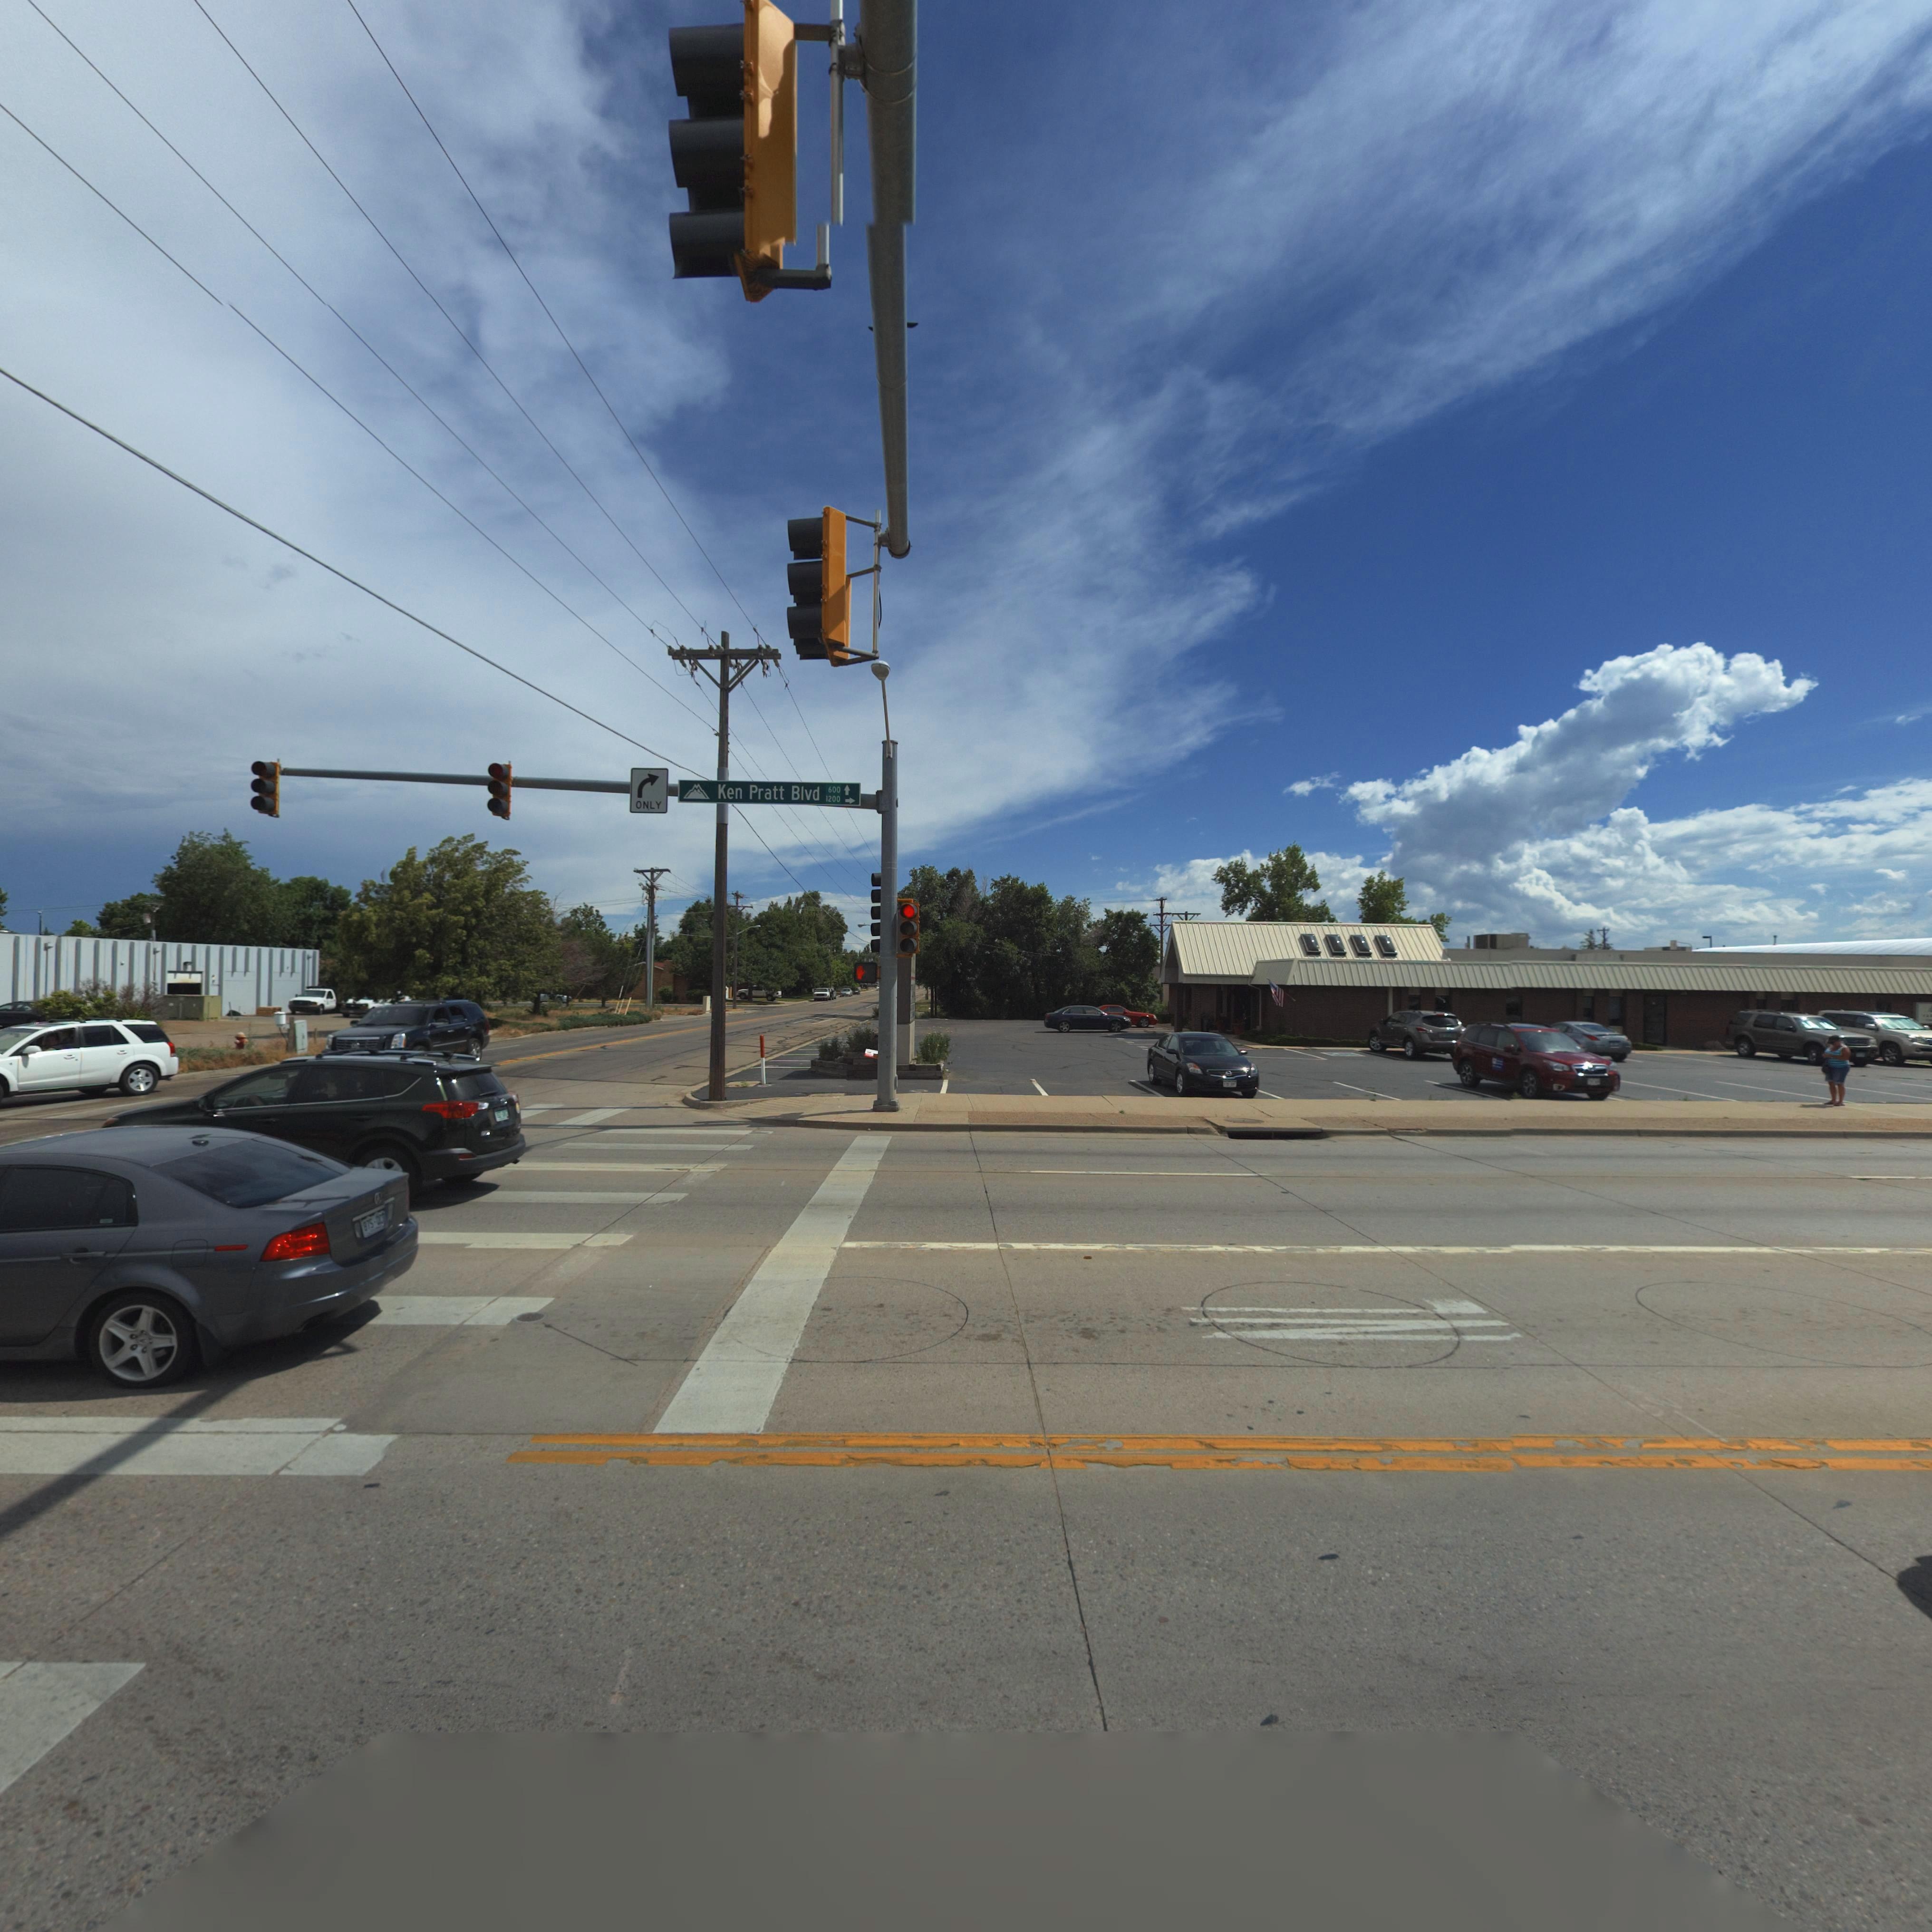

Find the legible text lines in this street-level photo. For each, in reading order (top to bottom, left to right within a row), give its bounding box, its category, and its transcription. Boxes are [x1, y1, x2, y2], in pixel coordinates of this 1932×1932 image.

[717, 783, 820, 801] StreetName: Ken Pratt Blvd
[827, 785, 840, 793] StreetNumberRange: 600
[825, 795, 856, 804] StreetNumberRange: 1200 ->